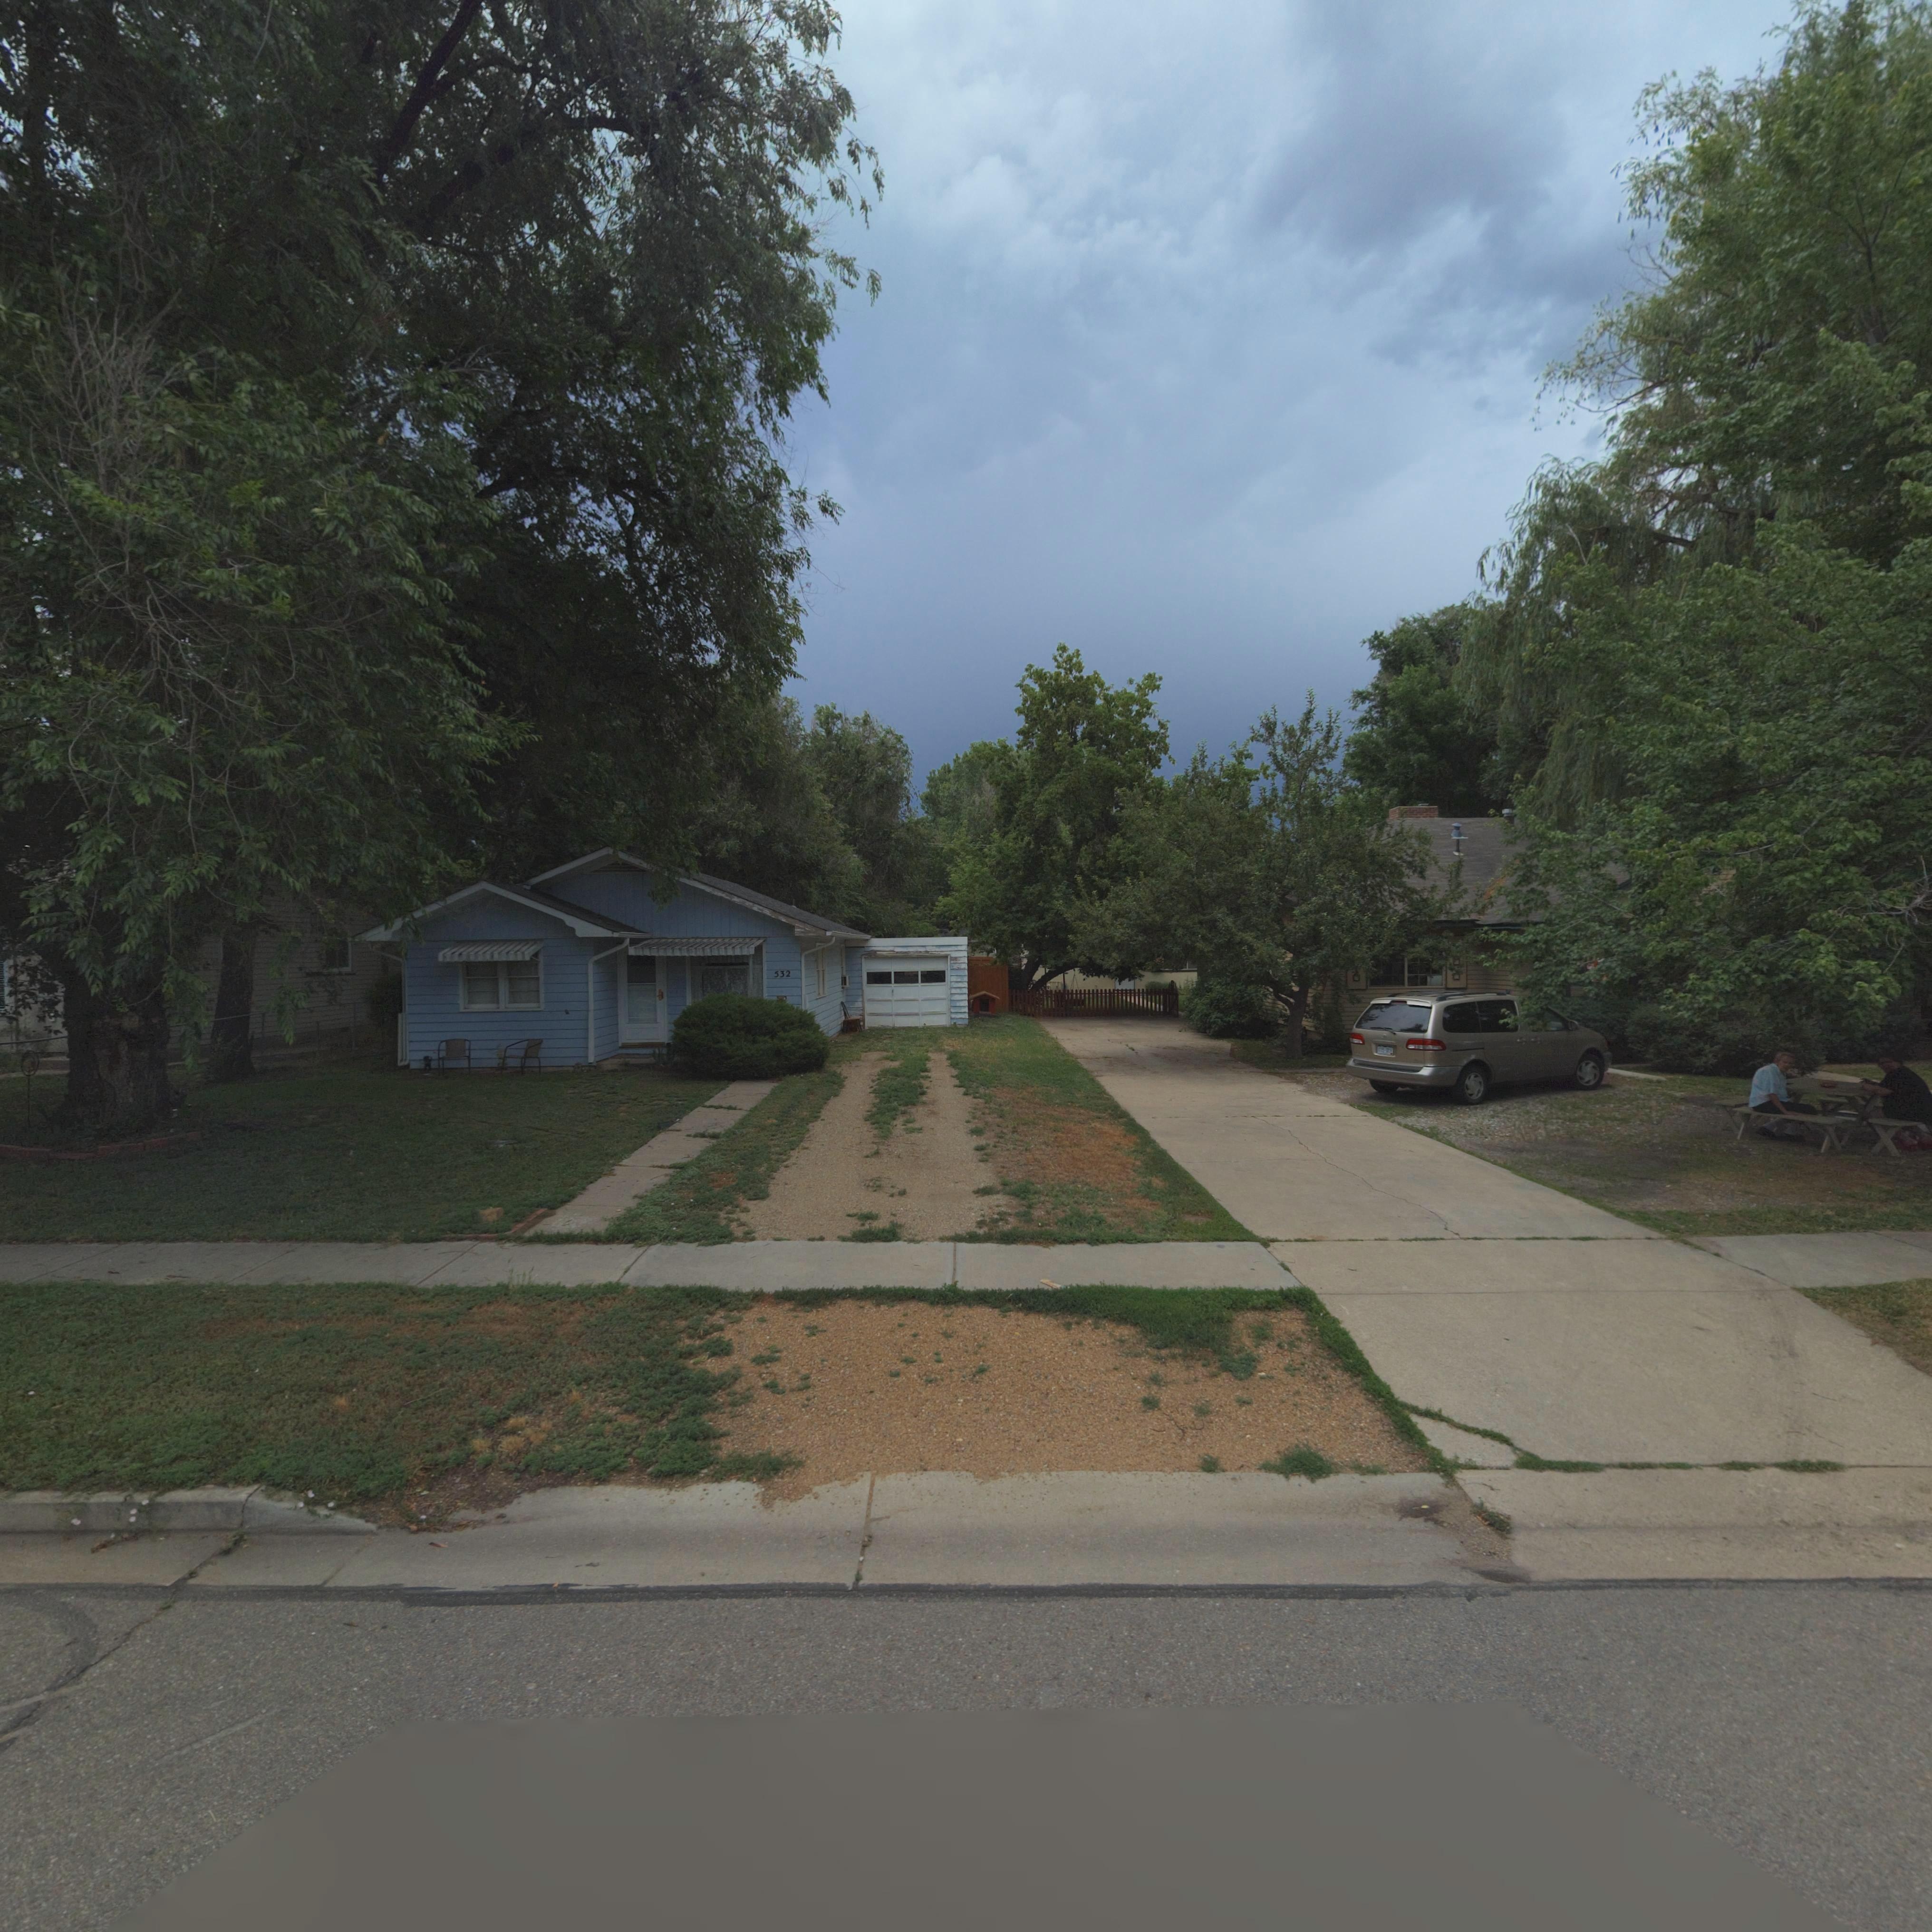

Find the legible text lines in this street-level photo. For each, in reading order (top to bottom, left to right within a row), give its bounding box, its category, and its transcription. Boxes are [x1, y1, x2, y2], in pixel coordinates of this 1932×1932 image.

[773, 969, 791, 978] StreetNumber: 532